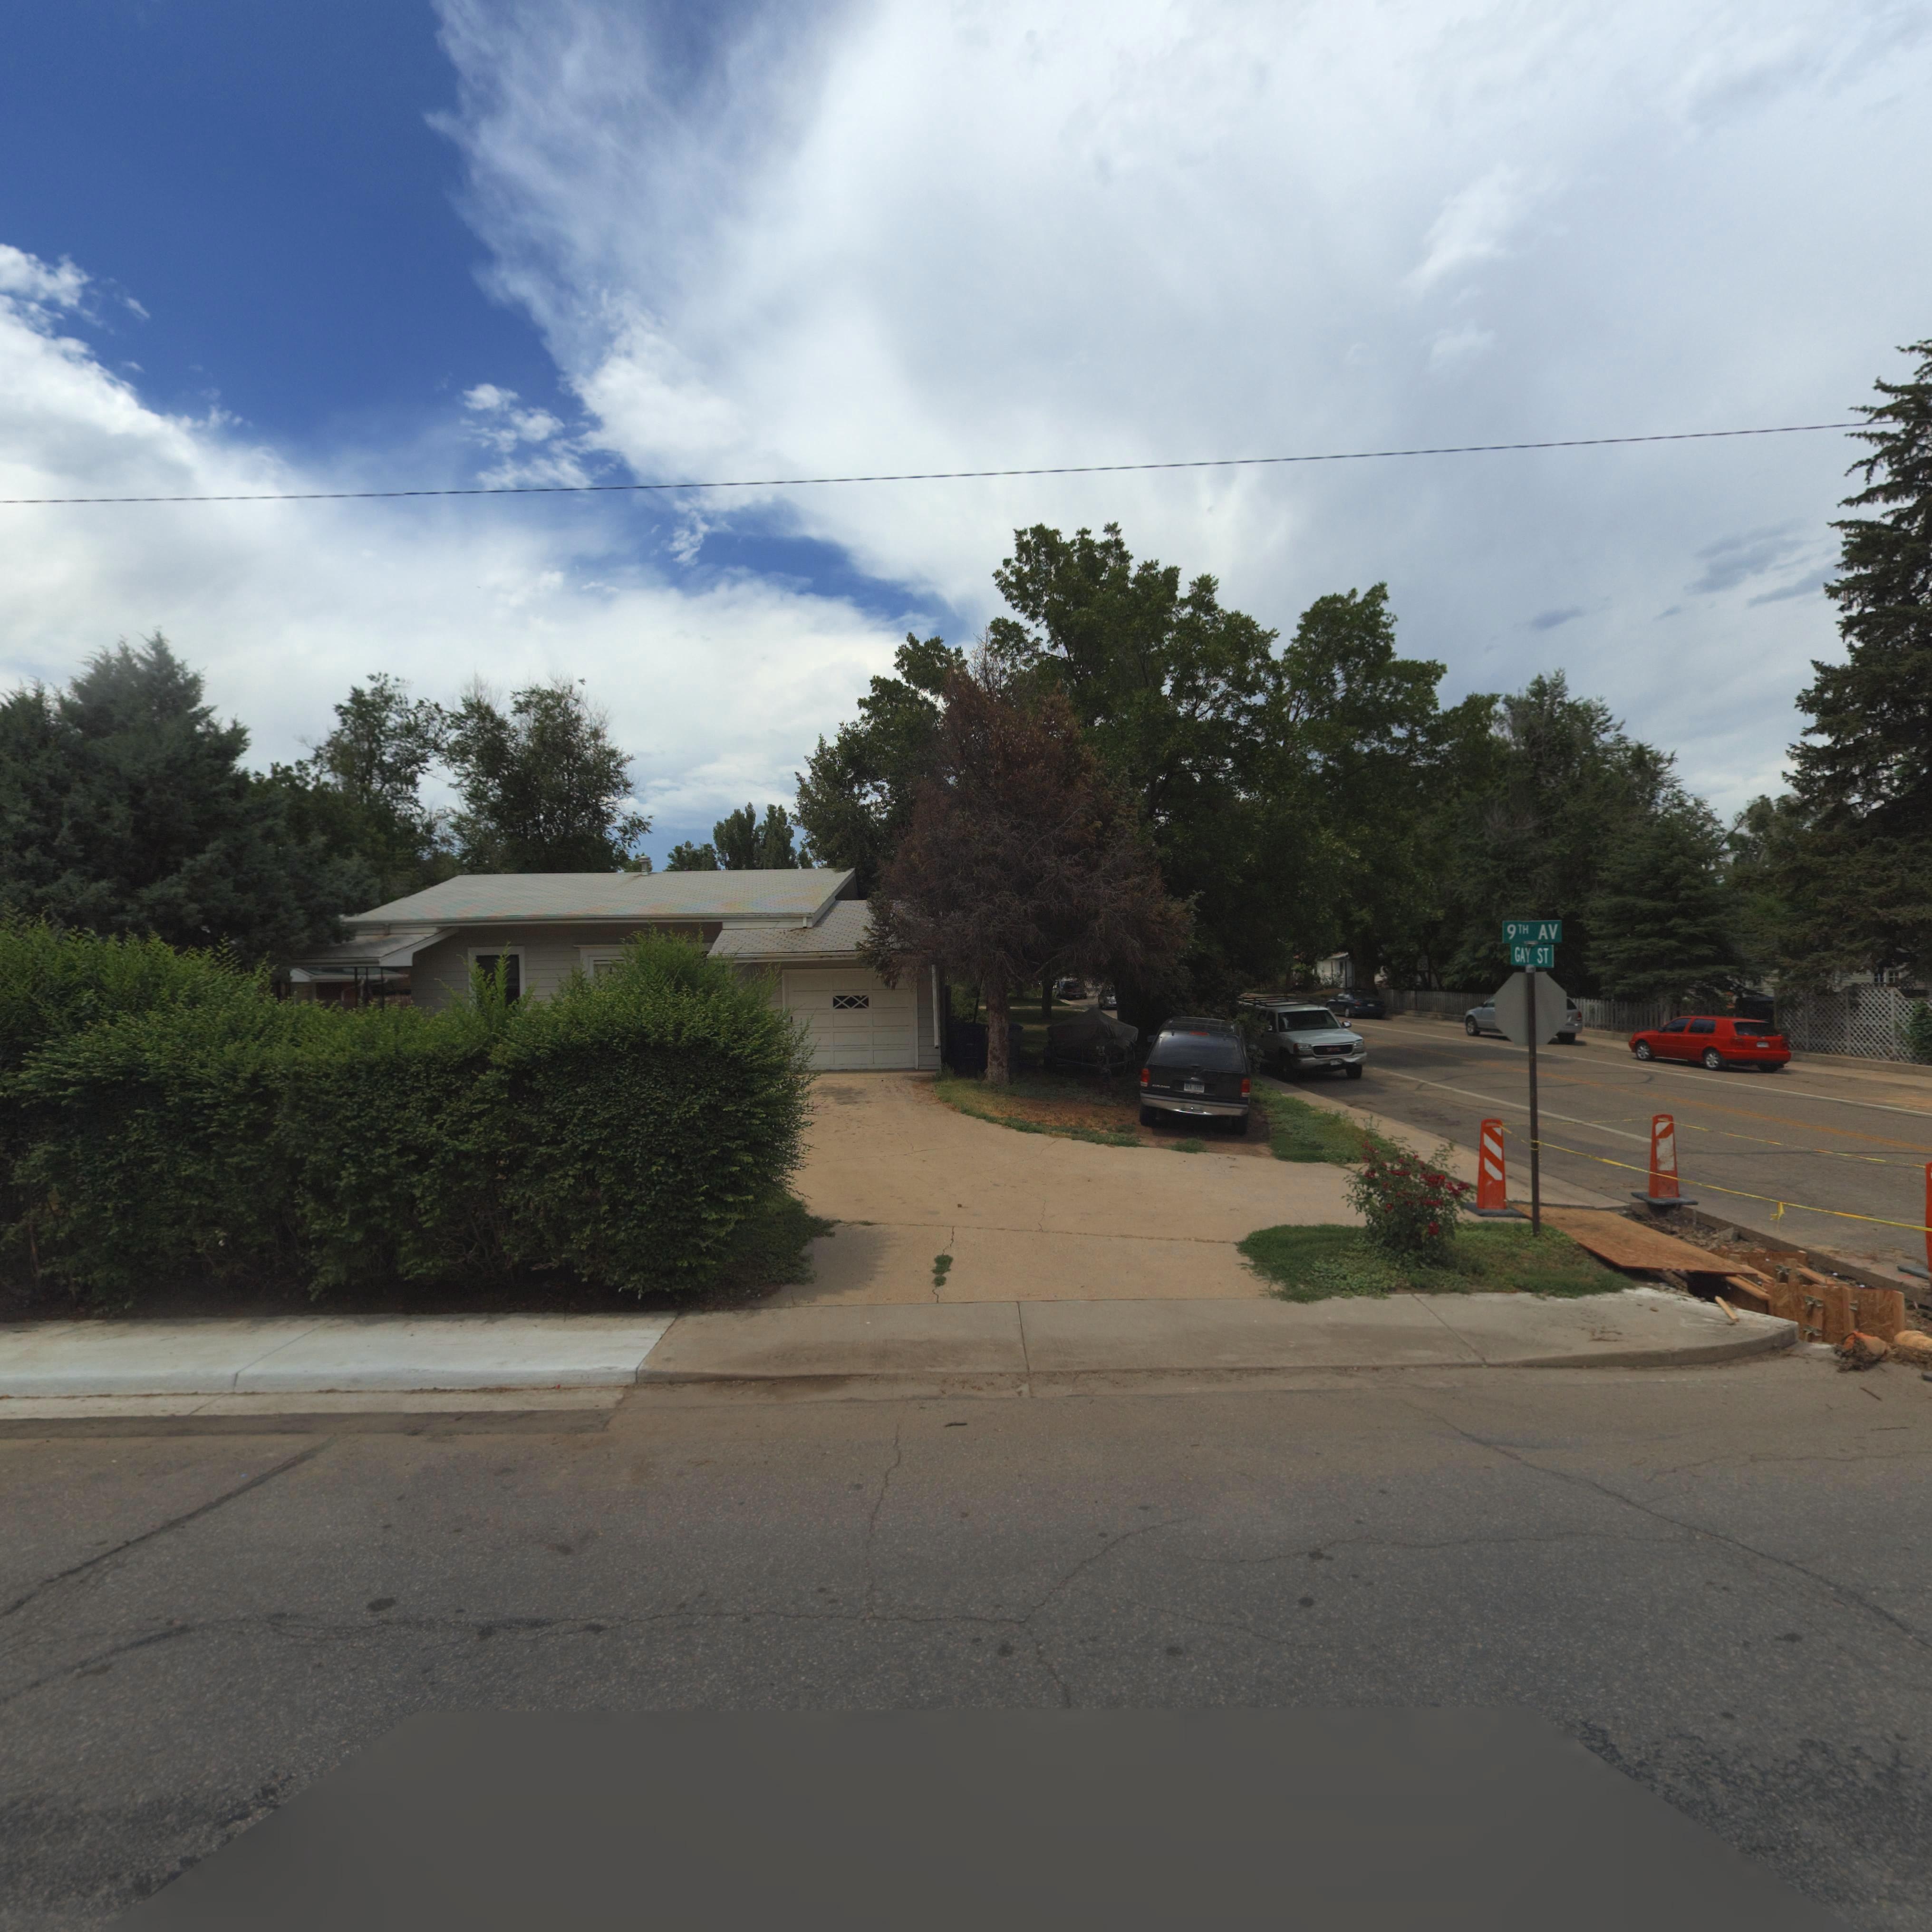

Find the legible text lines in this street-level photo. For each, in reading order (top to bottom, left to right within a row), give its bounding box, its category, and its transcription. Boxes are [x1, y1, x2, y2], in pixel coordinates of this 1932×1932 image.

[1507, 923, 1558, 940] StreetName: 9TH AV
[1514, 946, 1549, 964] StreetName: GAY ST